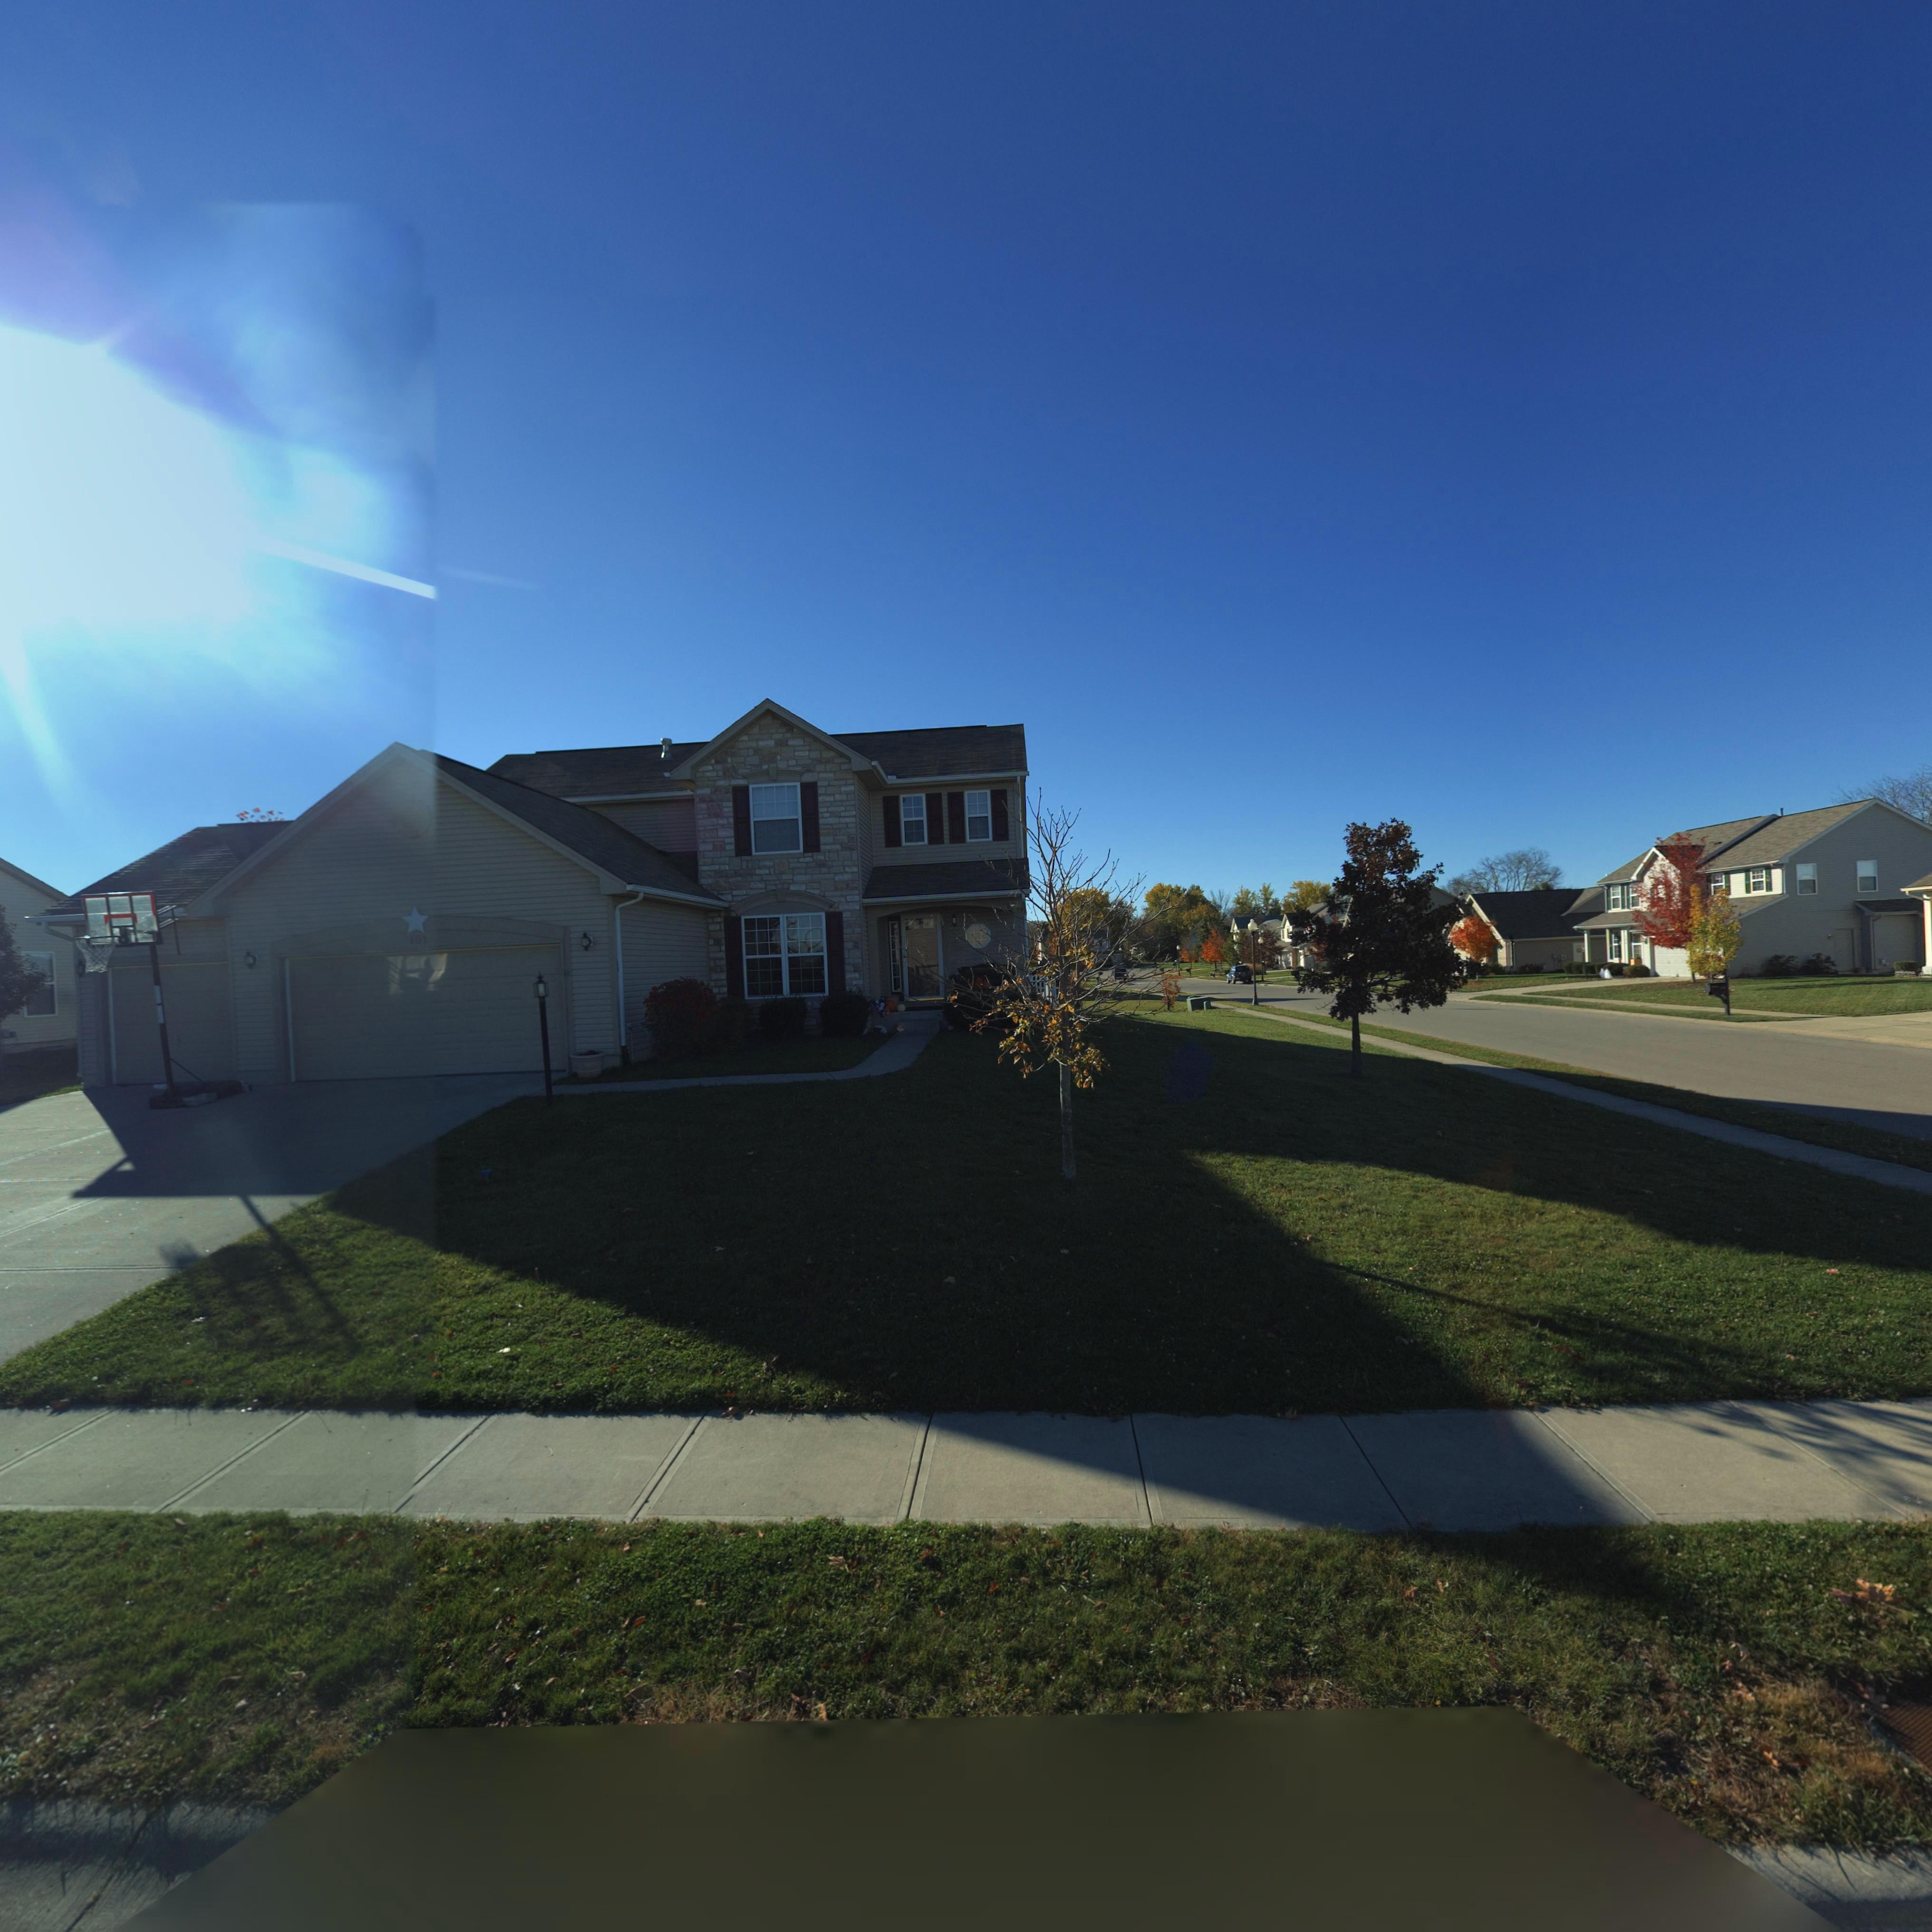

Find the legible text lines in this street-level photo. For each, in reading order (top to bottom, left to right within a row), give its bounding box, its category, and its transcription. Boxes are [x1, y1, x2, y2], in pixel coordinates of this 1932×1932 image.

[409, 934, 427, 945] StreetNumber: 101